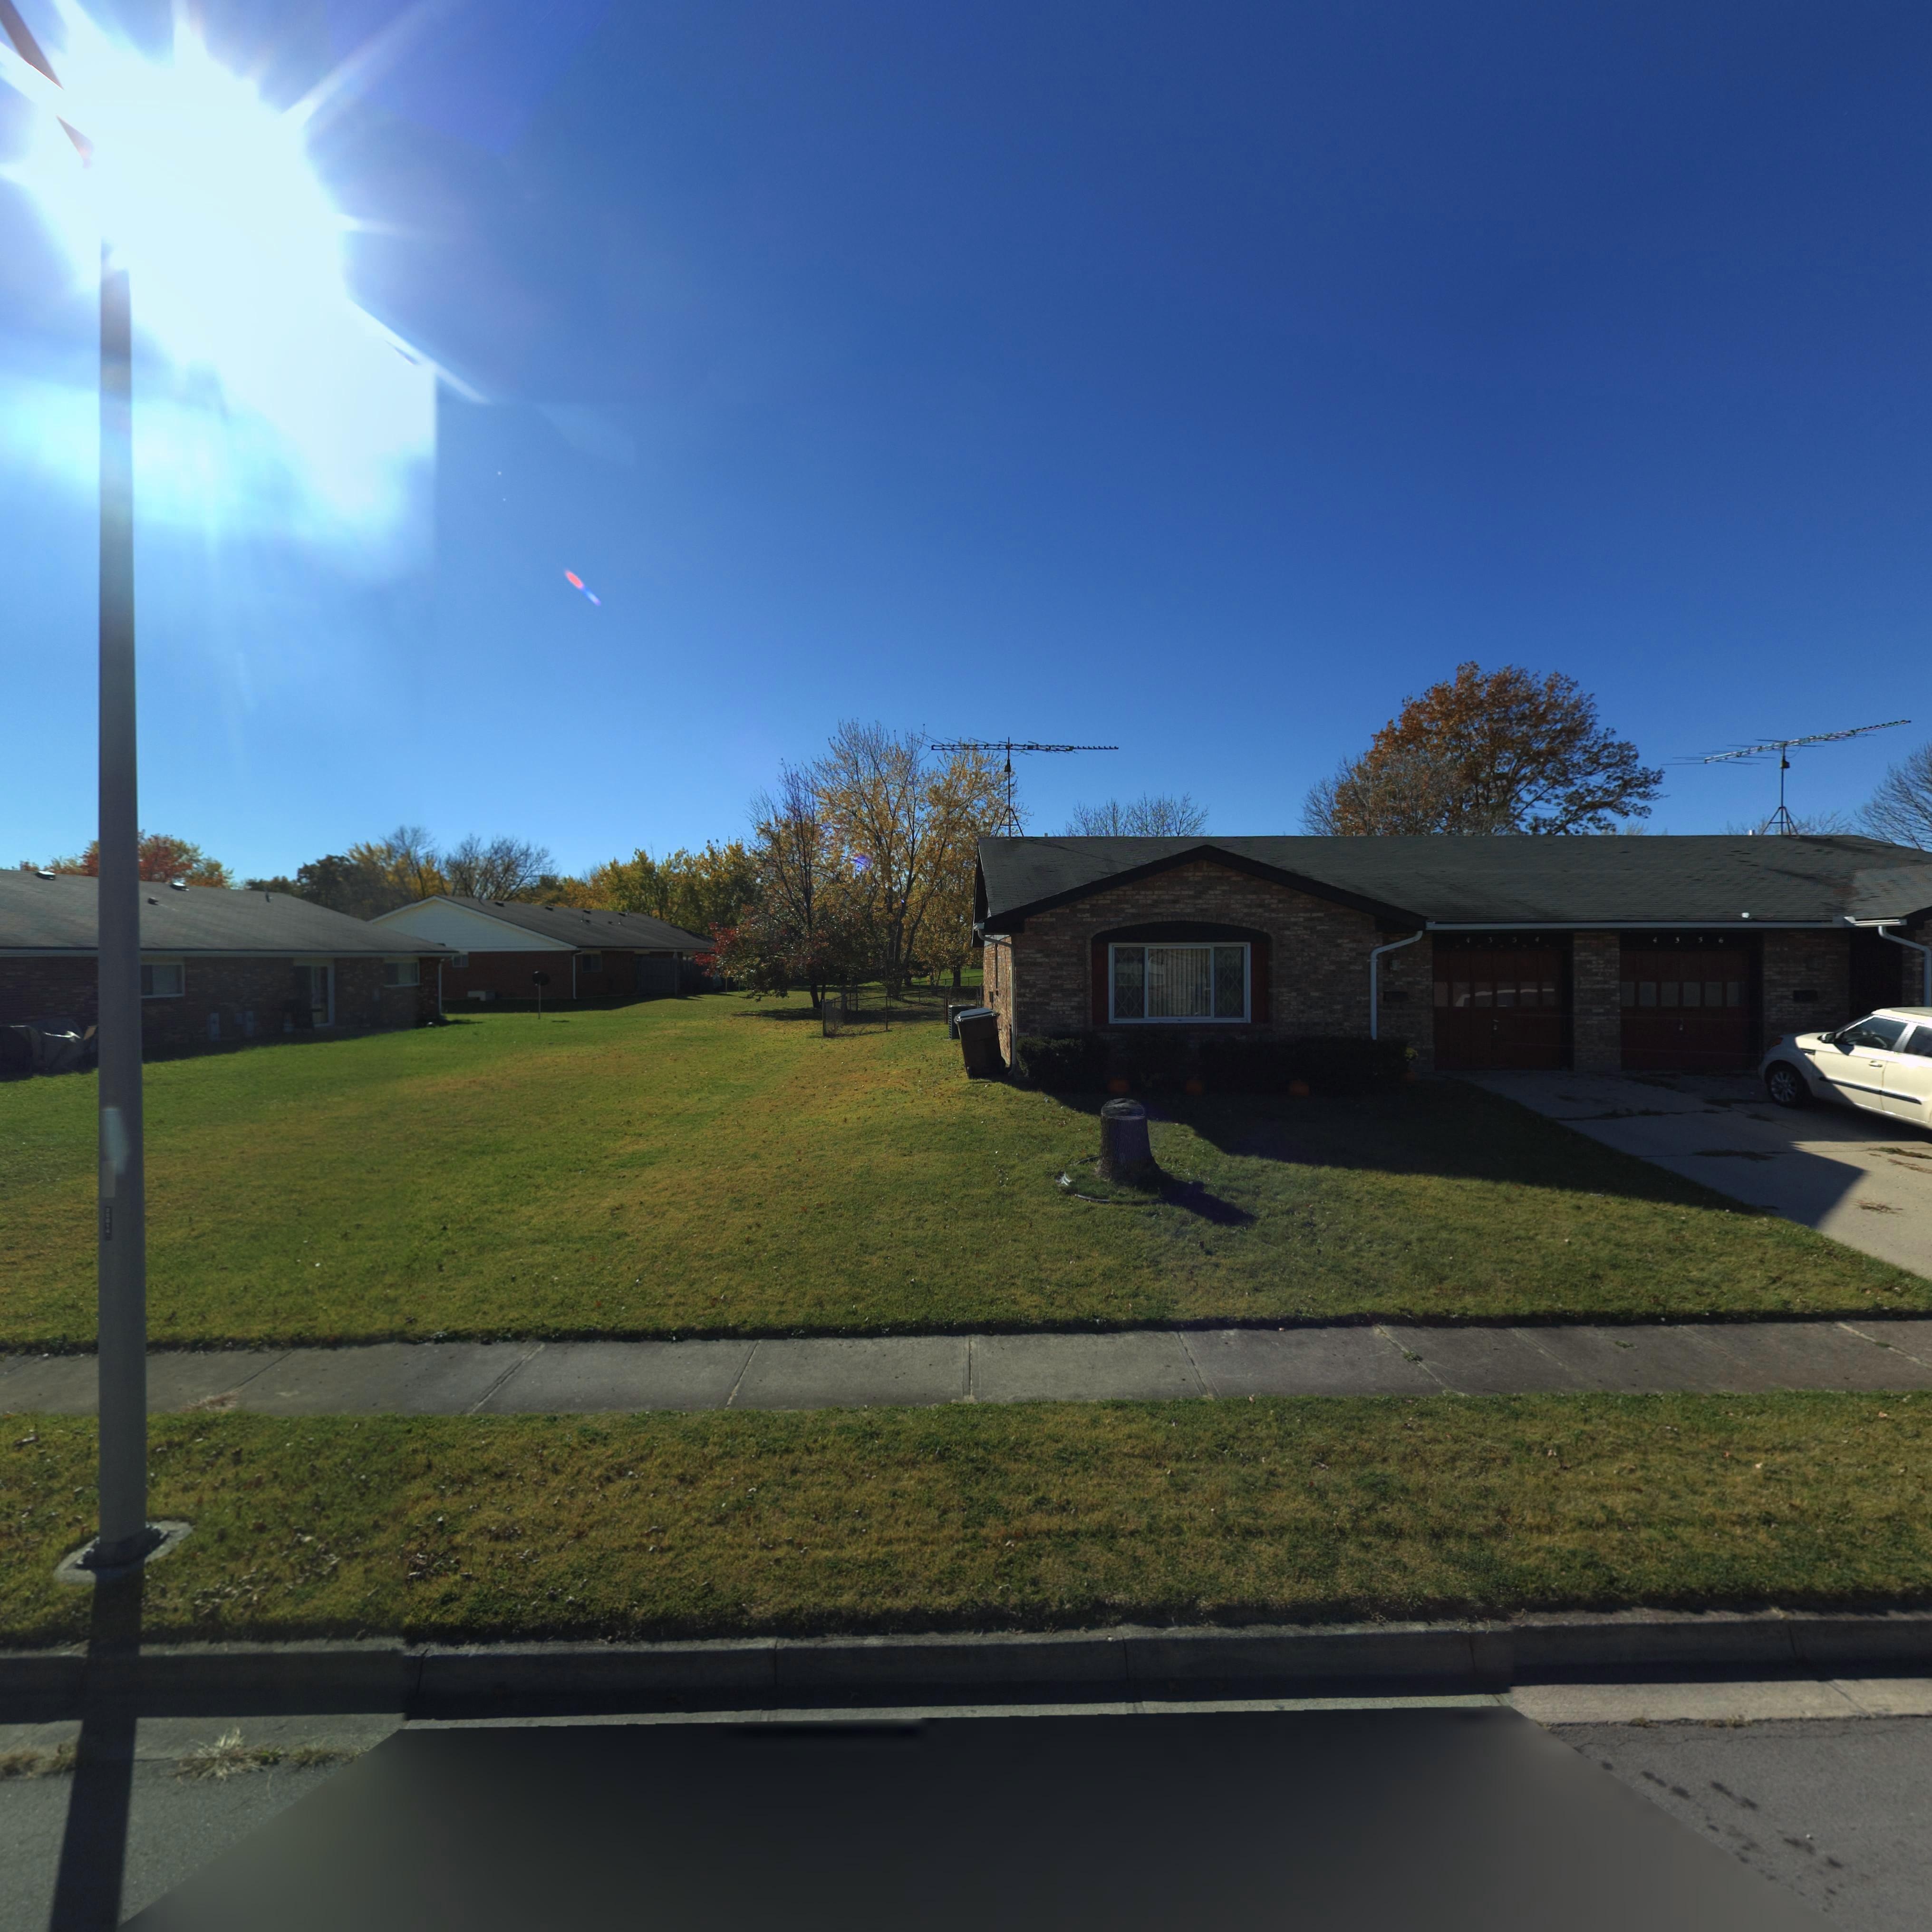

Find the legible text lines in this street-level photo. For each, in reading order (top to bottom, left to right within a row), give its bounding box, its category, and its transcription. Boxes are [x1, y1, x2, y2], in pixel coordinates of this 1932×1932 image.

[1465, 936, 1540, 944] StreetNumber: 4354
[1652, 937, 1724, 944] StreetNumber: 4356